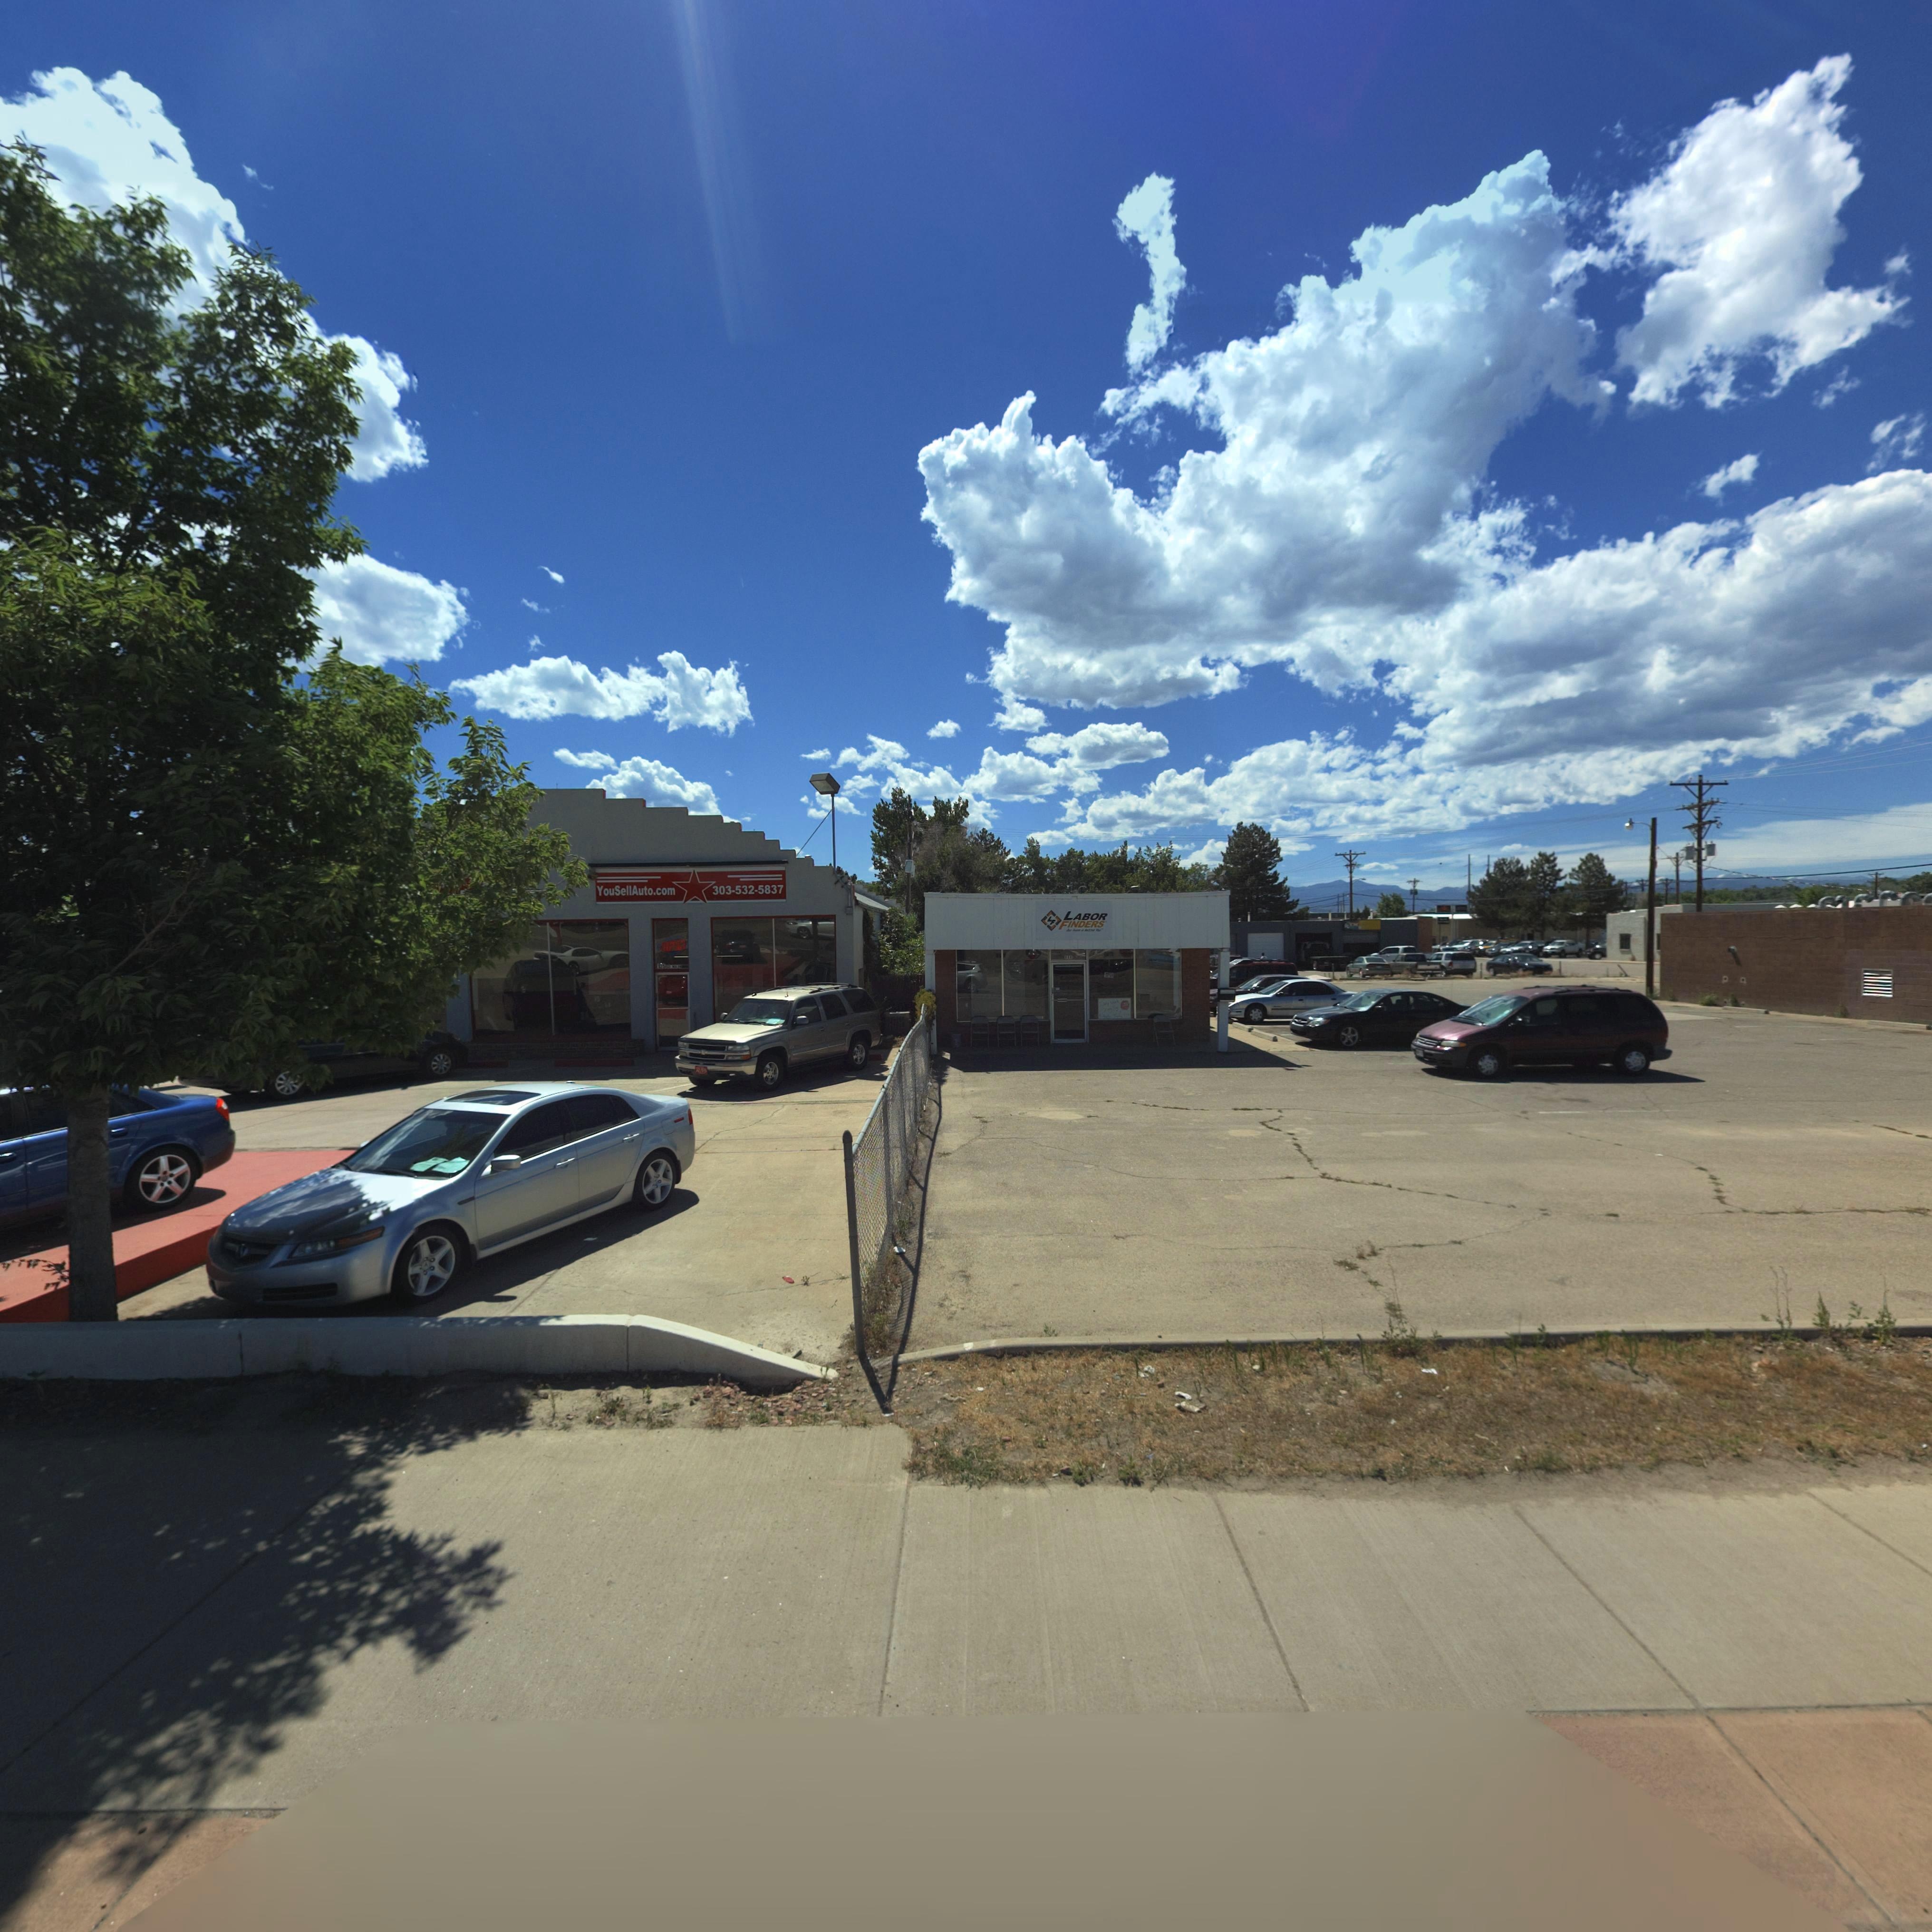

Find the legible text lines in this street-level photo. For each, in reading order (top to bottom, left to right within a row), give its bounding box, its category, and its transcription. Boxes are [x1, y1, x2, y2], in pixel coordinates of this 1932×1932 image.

[1063, 911, 1108, 920] BusinessName: LABOR
[1057, 920, 1105, 930] BusinessName: FINDERS
[1348, 922, 1358, 926] BusinessName: TM
[1064, 955, 1072, 959] StreetNumber: 111
[657, 963, 666, 968] StreetNumber: 125